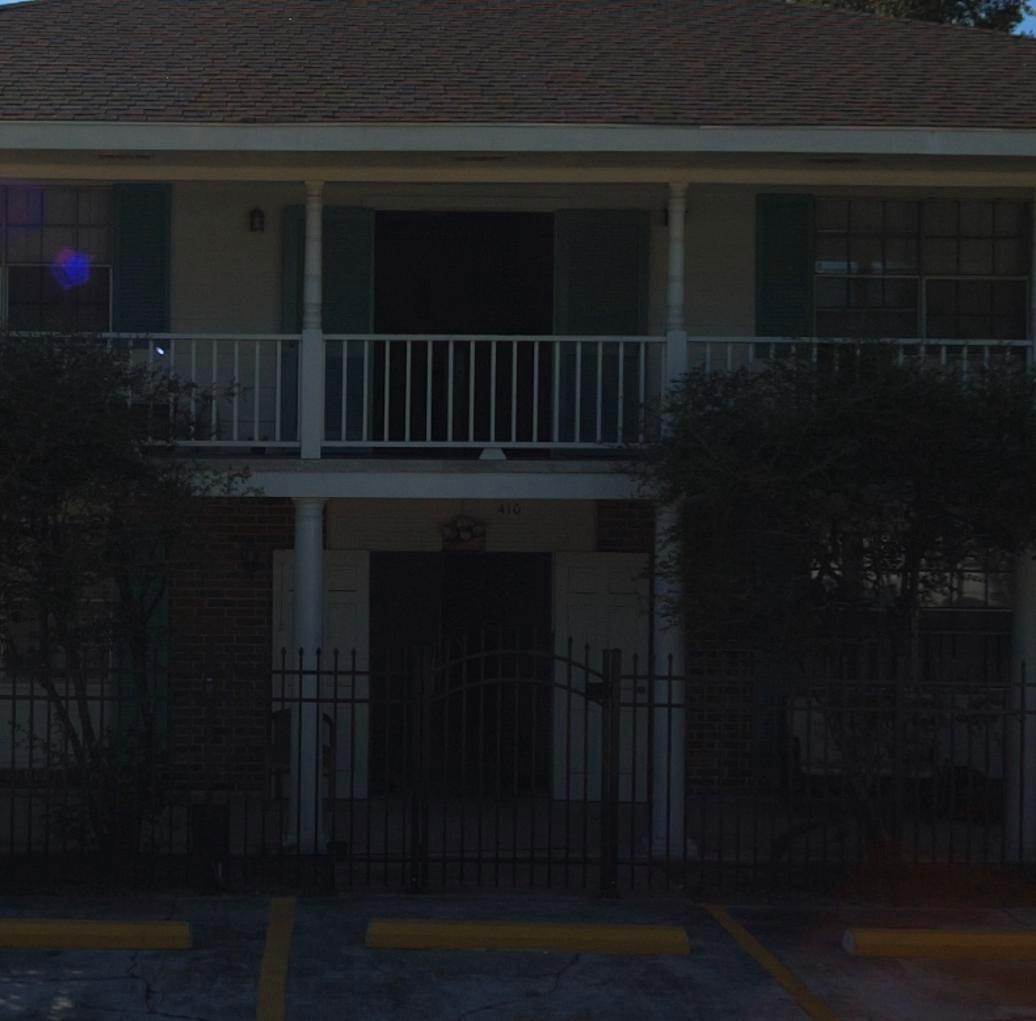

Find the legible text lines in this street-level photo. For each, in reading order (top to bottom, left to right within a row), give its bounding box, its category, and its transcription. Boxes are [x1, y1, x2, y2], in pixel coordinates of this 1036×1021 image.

[496, 499, 523, 517] StreetNumber: 410